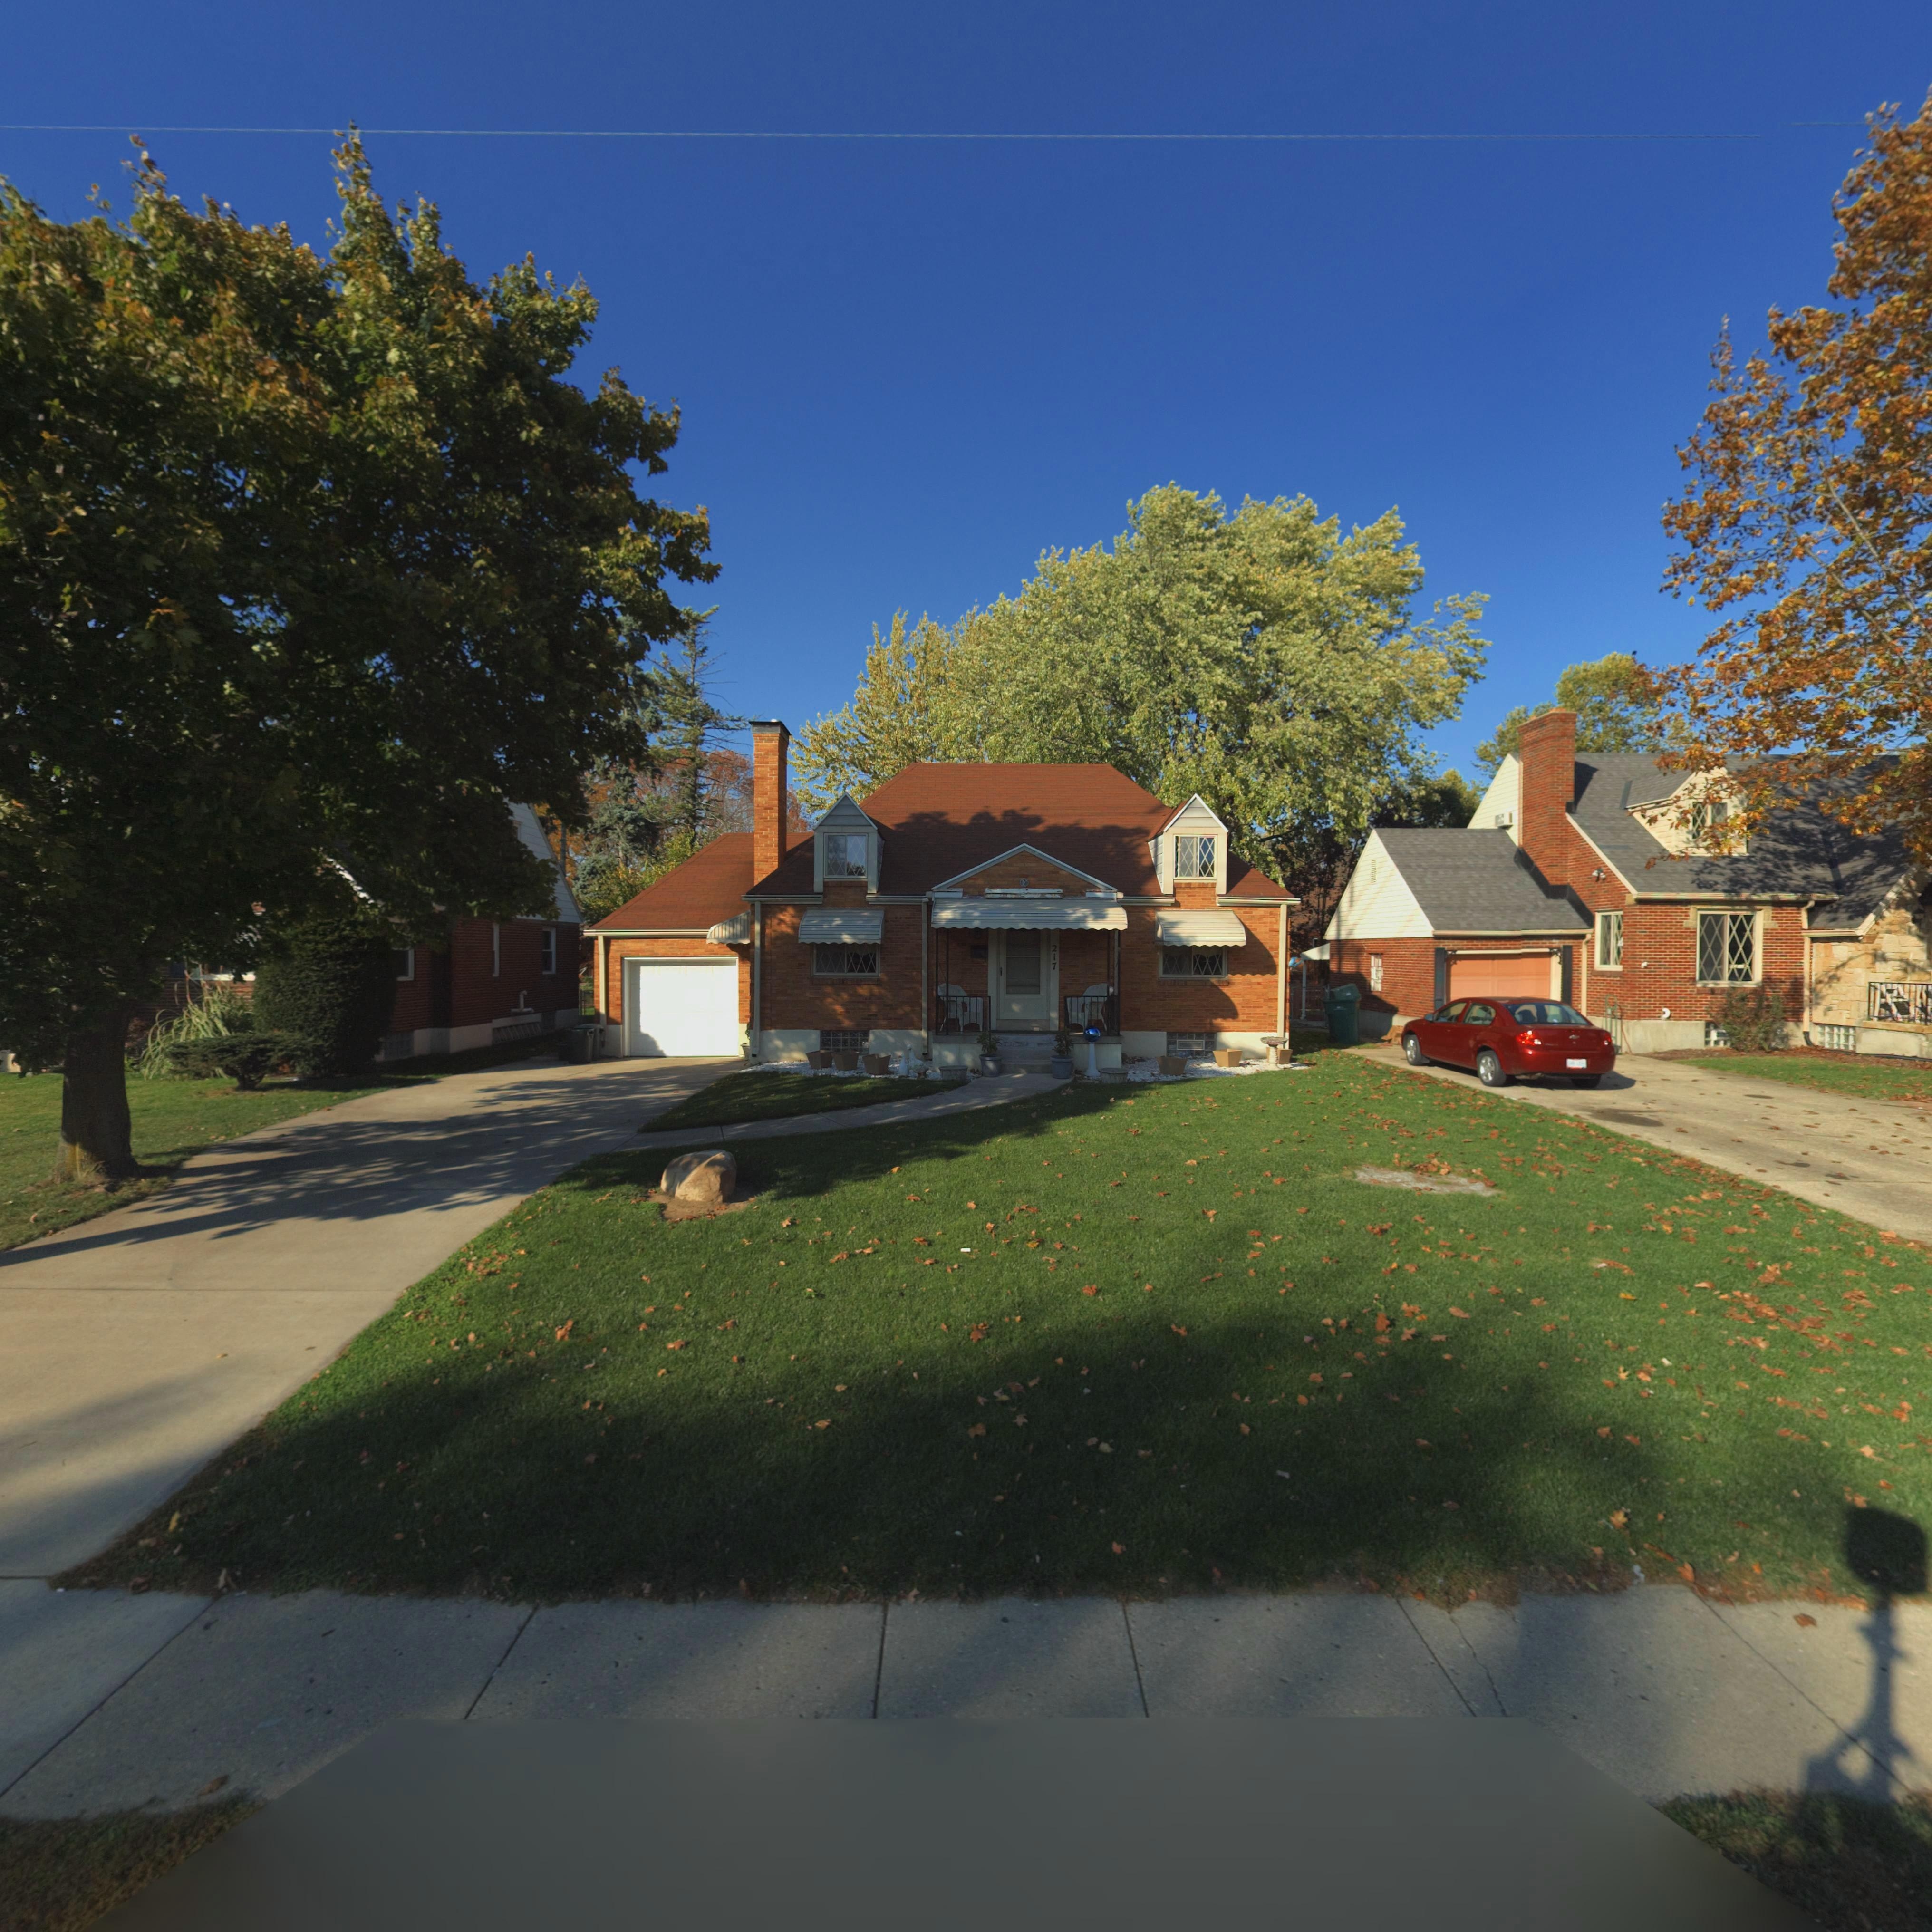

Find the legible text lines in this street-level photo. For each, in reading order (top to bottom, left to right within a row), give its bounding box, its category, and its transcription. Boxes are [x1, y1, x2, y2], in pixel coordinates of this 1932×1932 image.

[1051, 943, 1058, 971] StreetNumber: 217